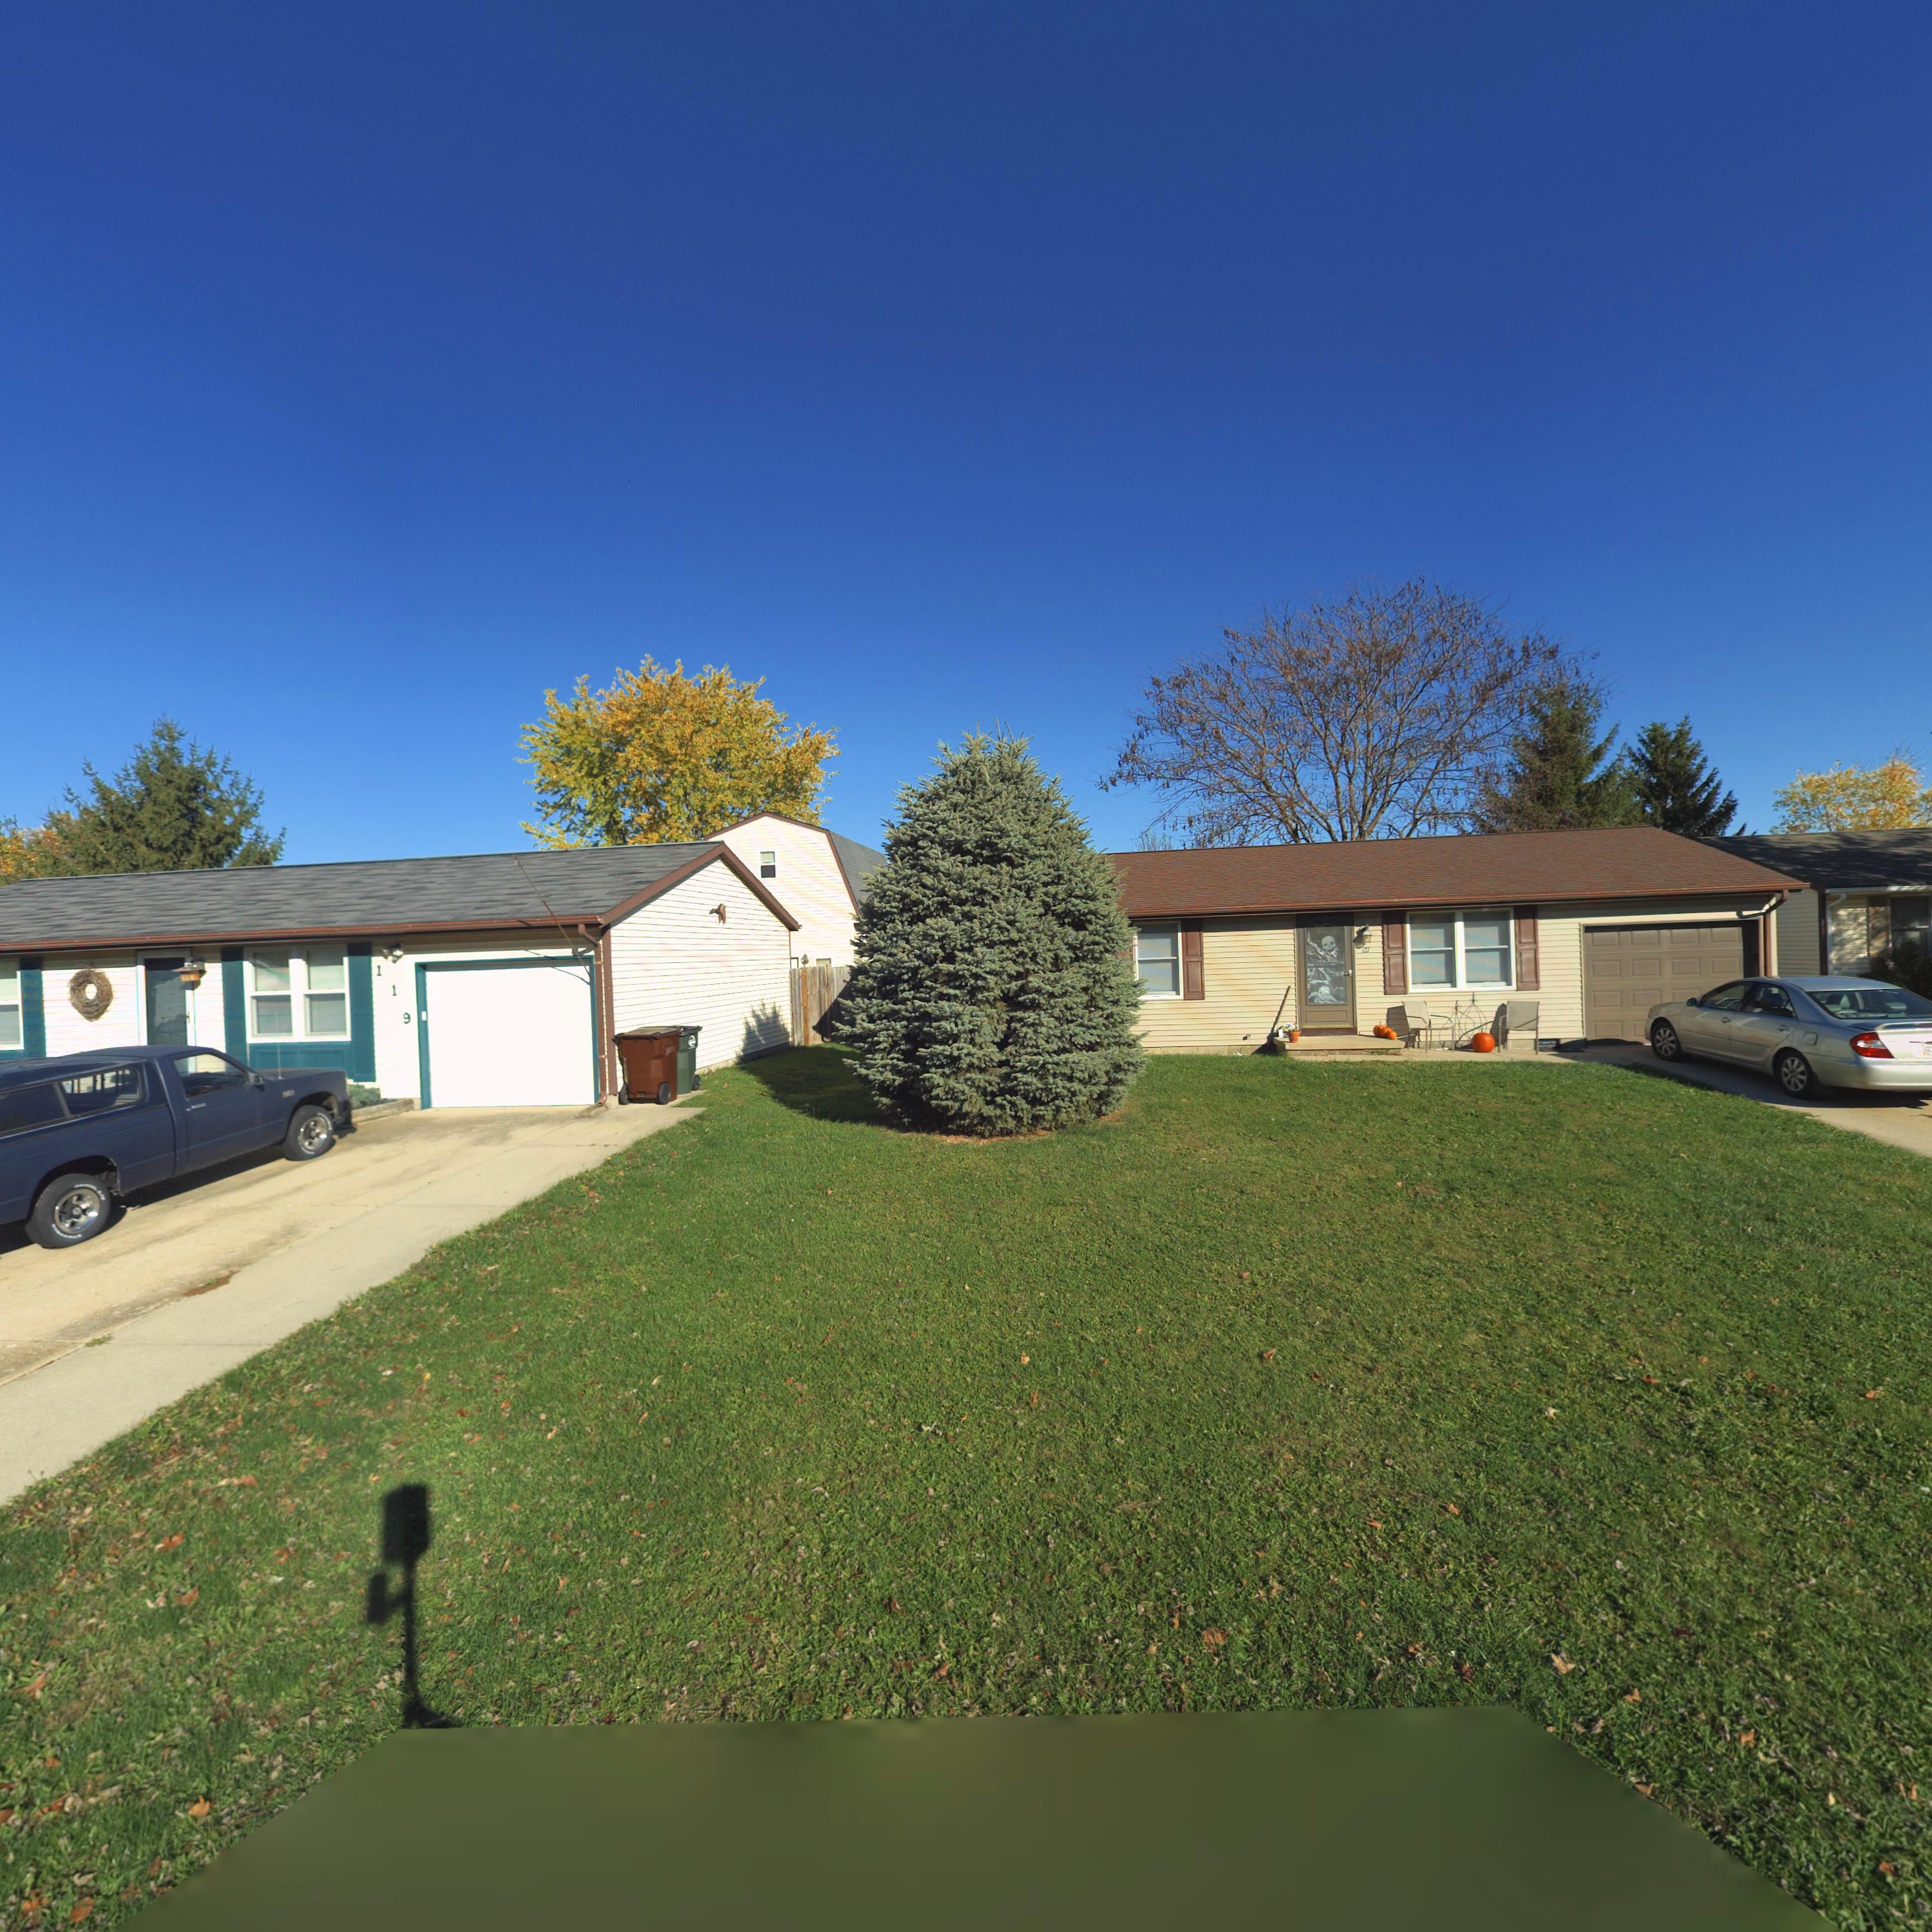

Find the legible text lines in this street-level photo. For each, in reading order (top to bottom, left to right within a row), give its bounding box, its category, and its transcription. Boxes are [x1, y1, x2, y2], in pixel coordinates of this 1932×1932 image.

[1362, 947, 1371, 953] StreetNumber: 121
[376, 964, 411, 1025] StreetNumber: 119